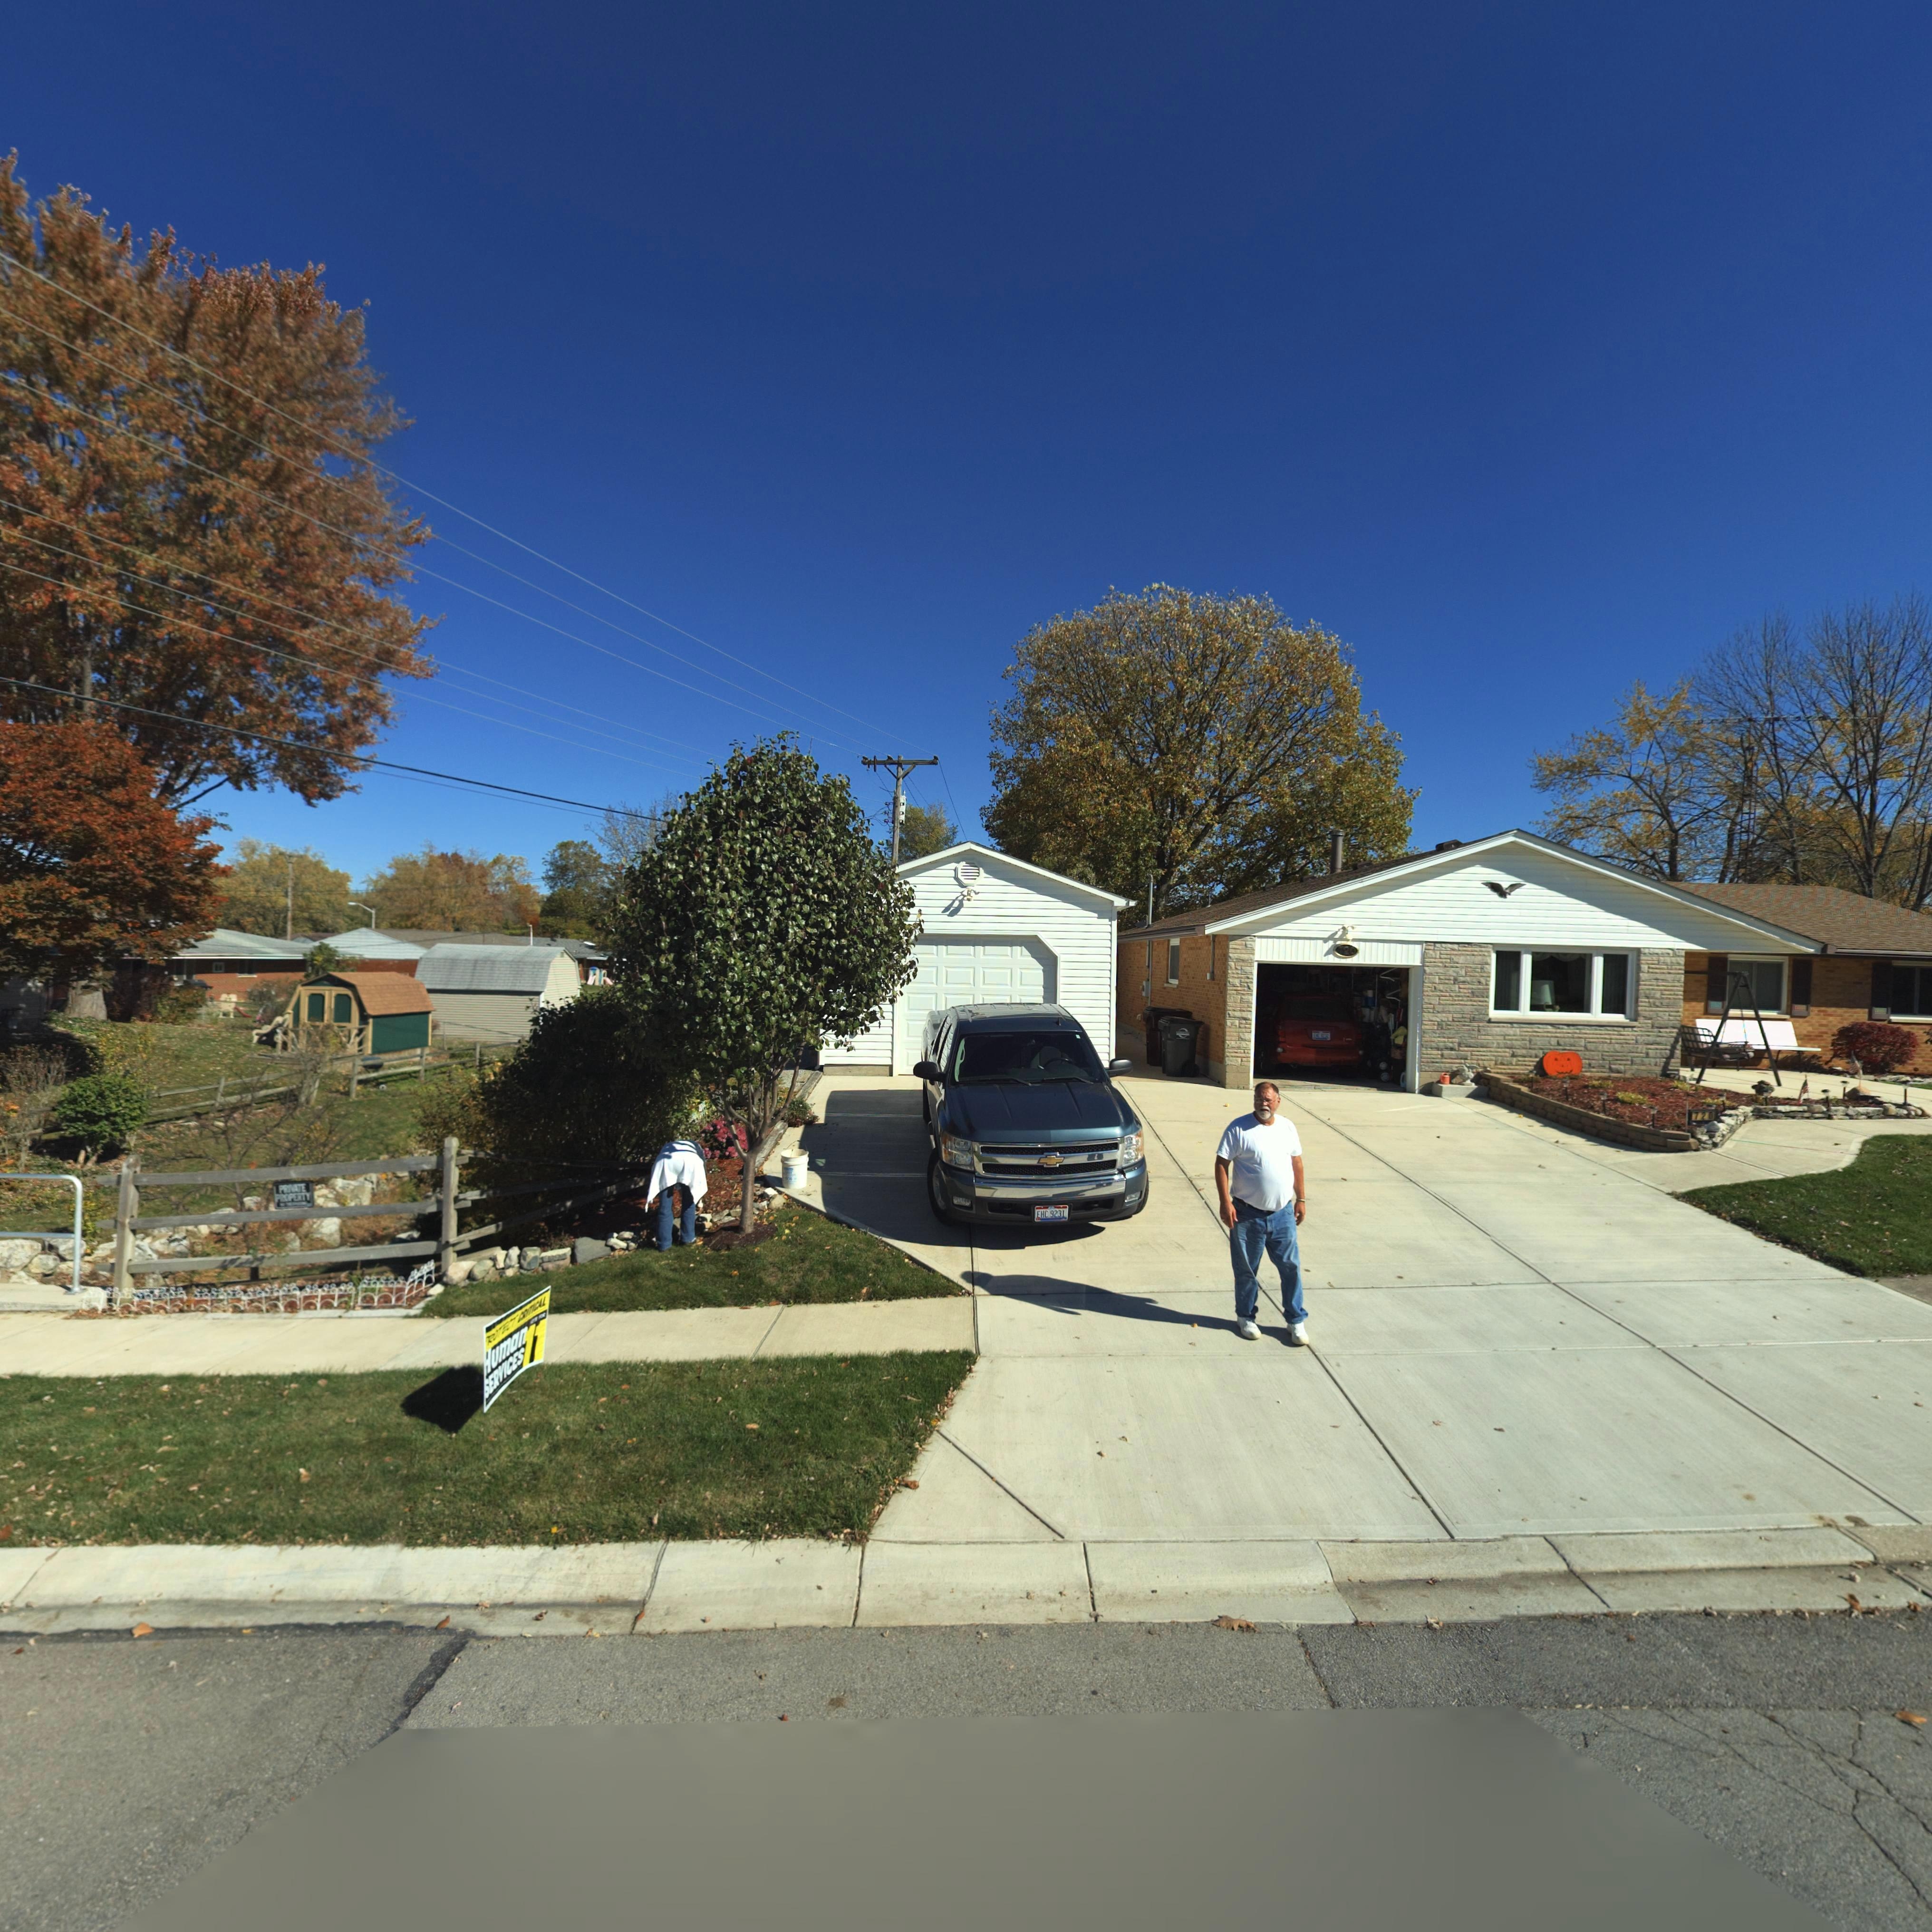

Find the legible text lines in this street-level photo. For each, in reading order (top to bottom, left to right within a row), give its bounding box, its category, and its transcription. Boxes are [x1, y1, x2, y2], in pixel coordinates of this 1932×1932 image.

[1337, 946, 1357, 955] StreetNumber: 720